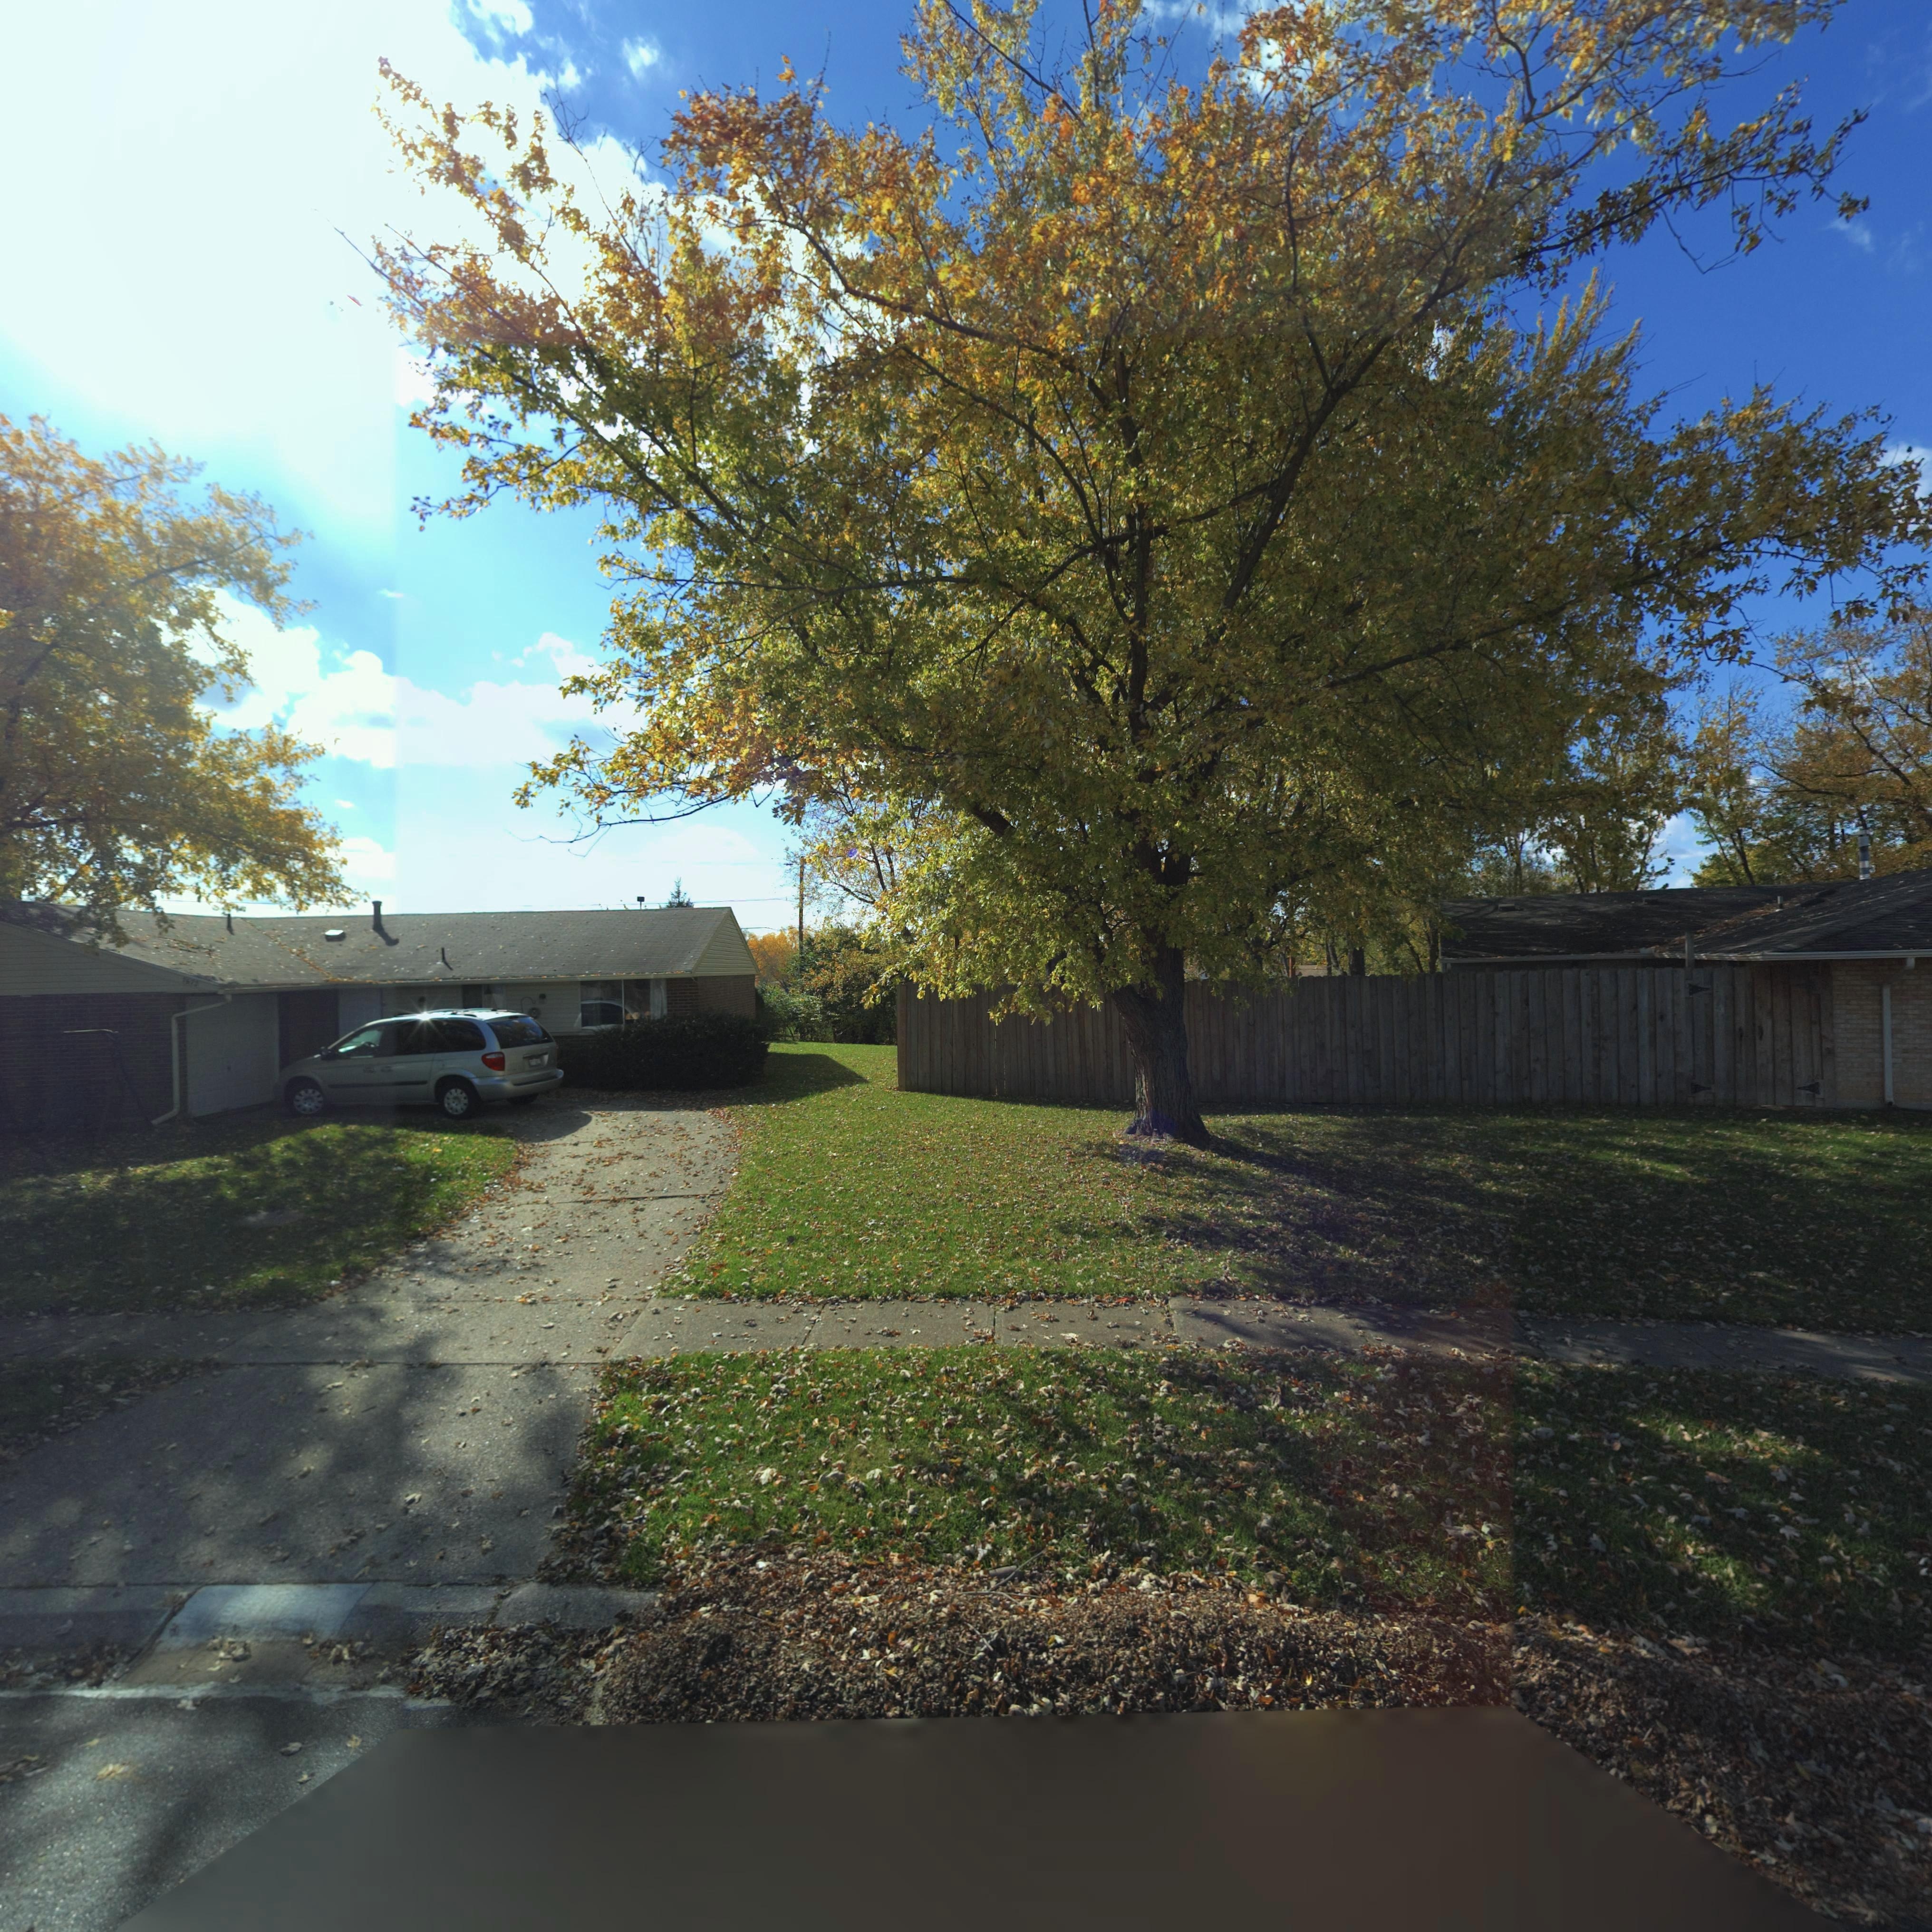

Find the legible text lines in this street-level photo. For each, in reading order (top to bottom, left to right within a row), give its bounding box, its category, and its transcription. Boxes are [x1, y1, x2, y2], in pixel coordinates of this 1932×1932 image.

[181, 976, 200, 988] StreetNumber: 7673